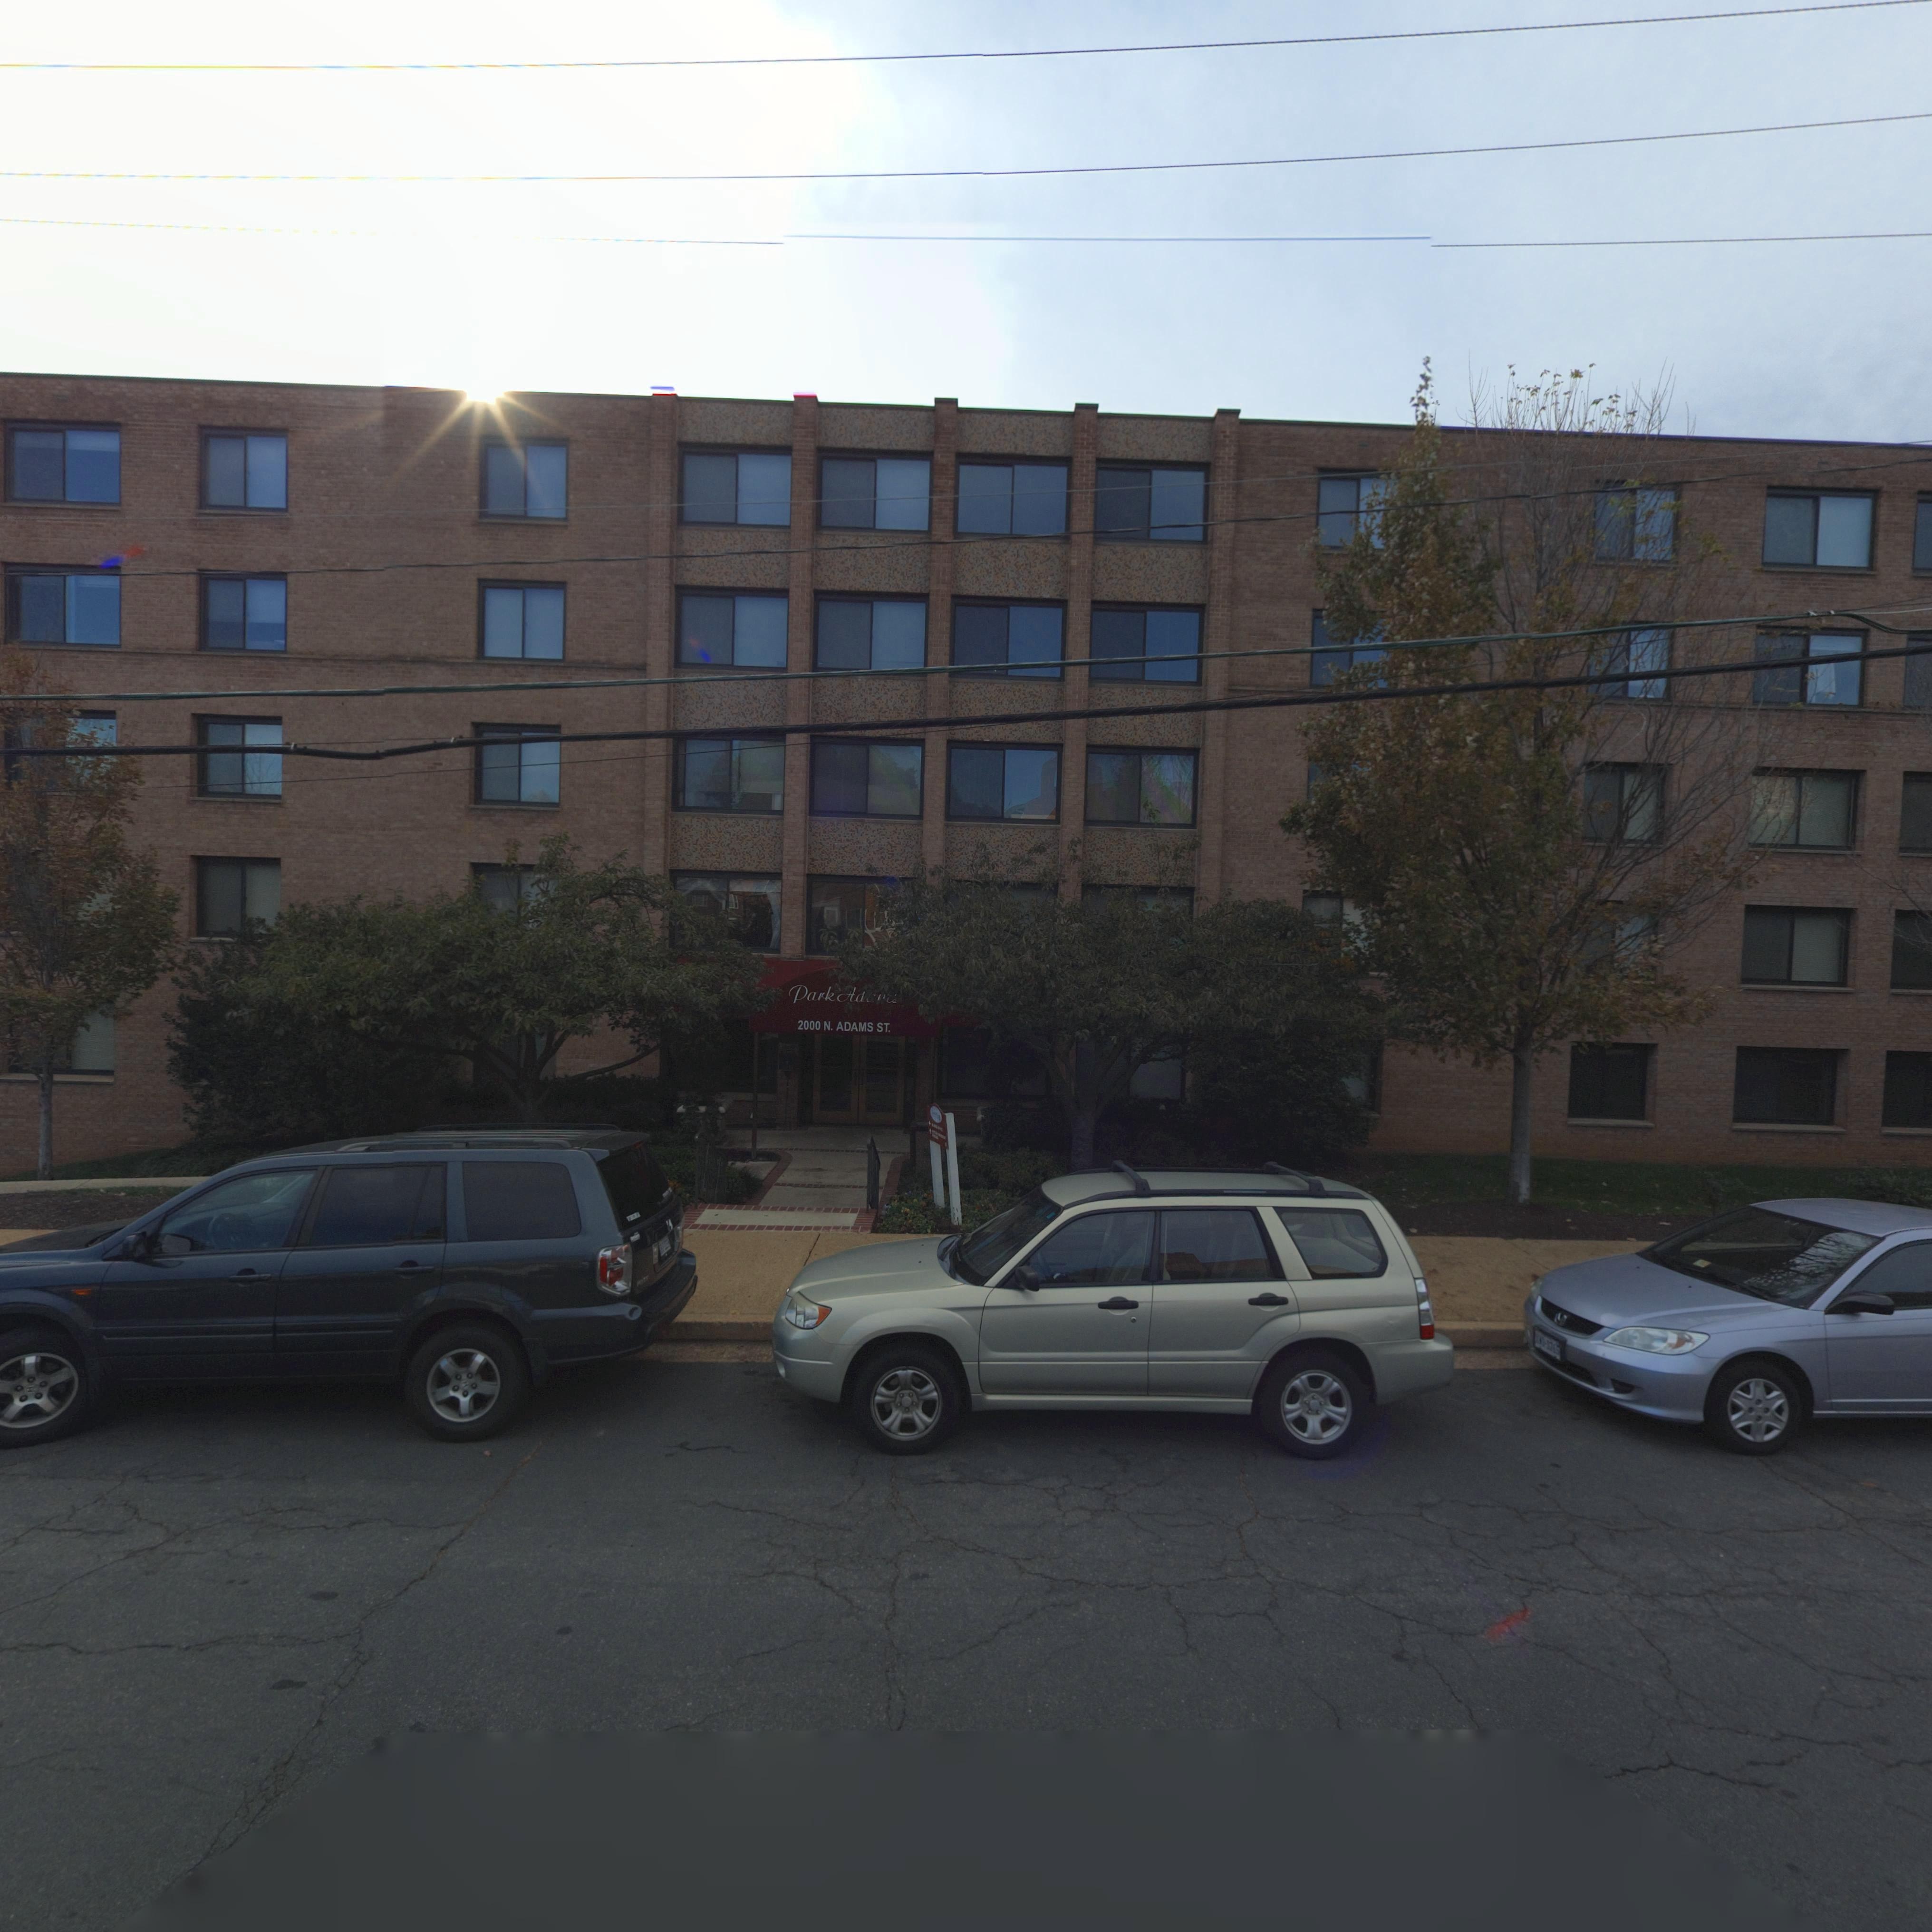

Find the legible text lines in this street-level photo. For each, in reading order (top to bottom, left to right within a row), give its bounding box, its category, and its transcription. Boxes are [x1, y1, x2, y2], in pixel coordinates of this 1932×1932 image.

[788, 984, 857, 1005] BusinessName: Park A
[797, 1019, 821, 1030] StreetNumber: 2000
[823, 1020, 891, 1033] StreetName: N. ADAMS ST.\